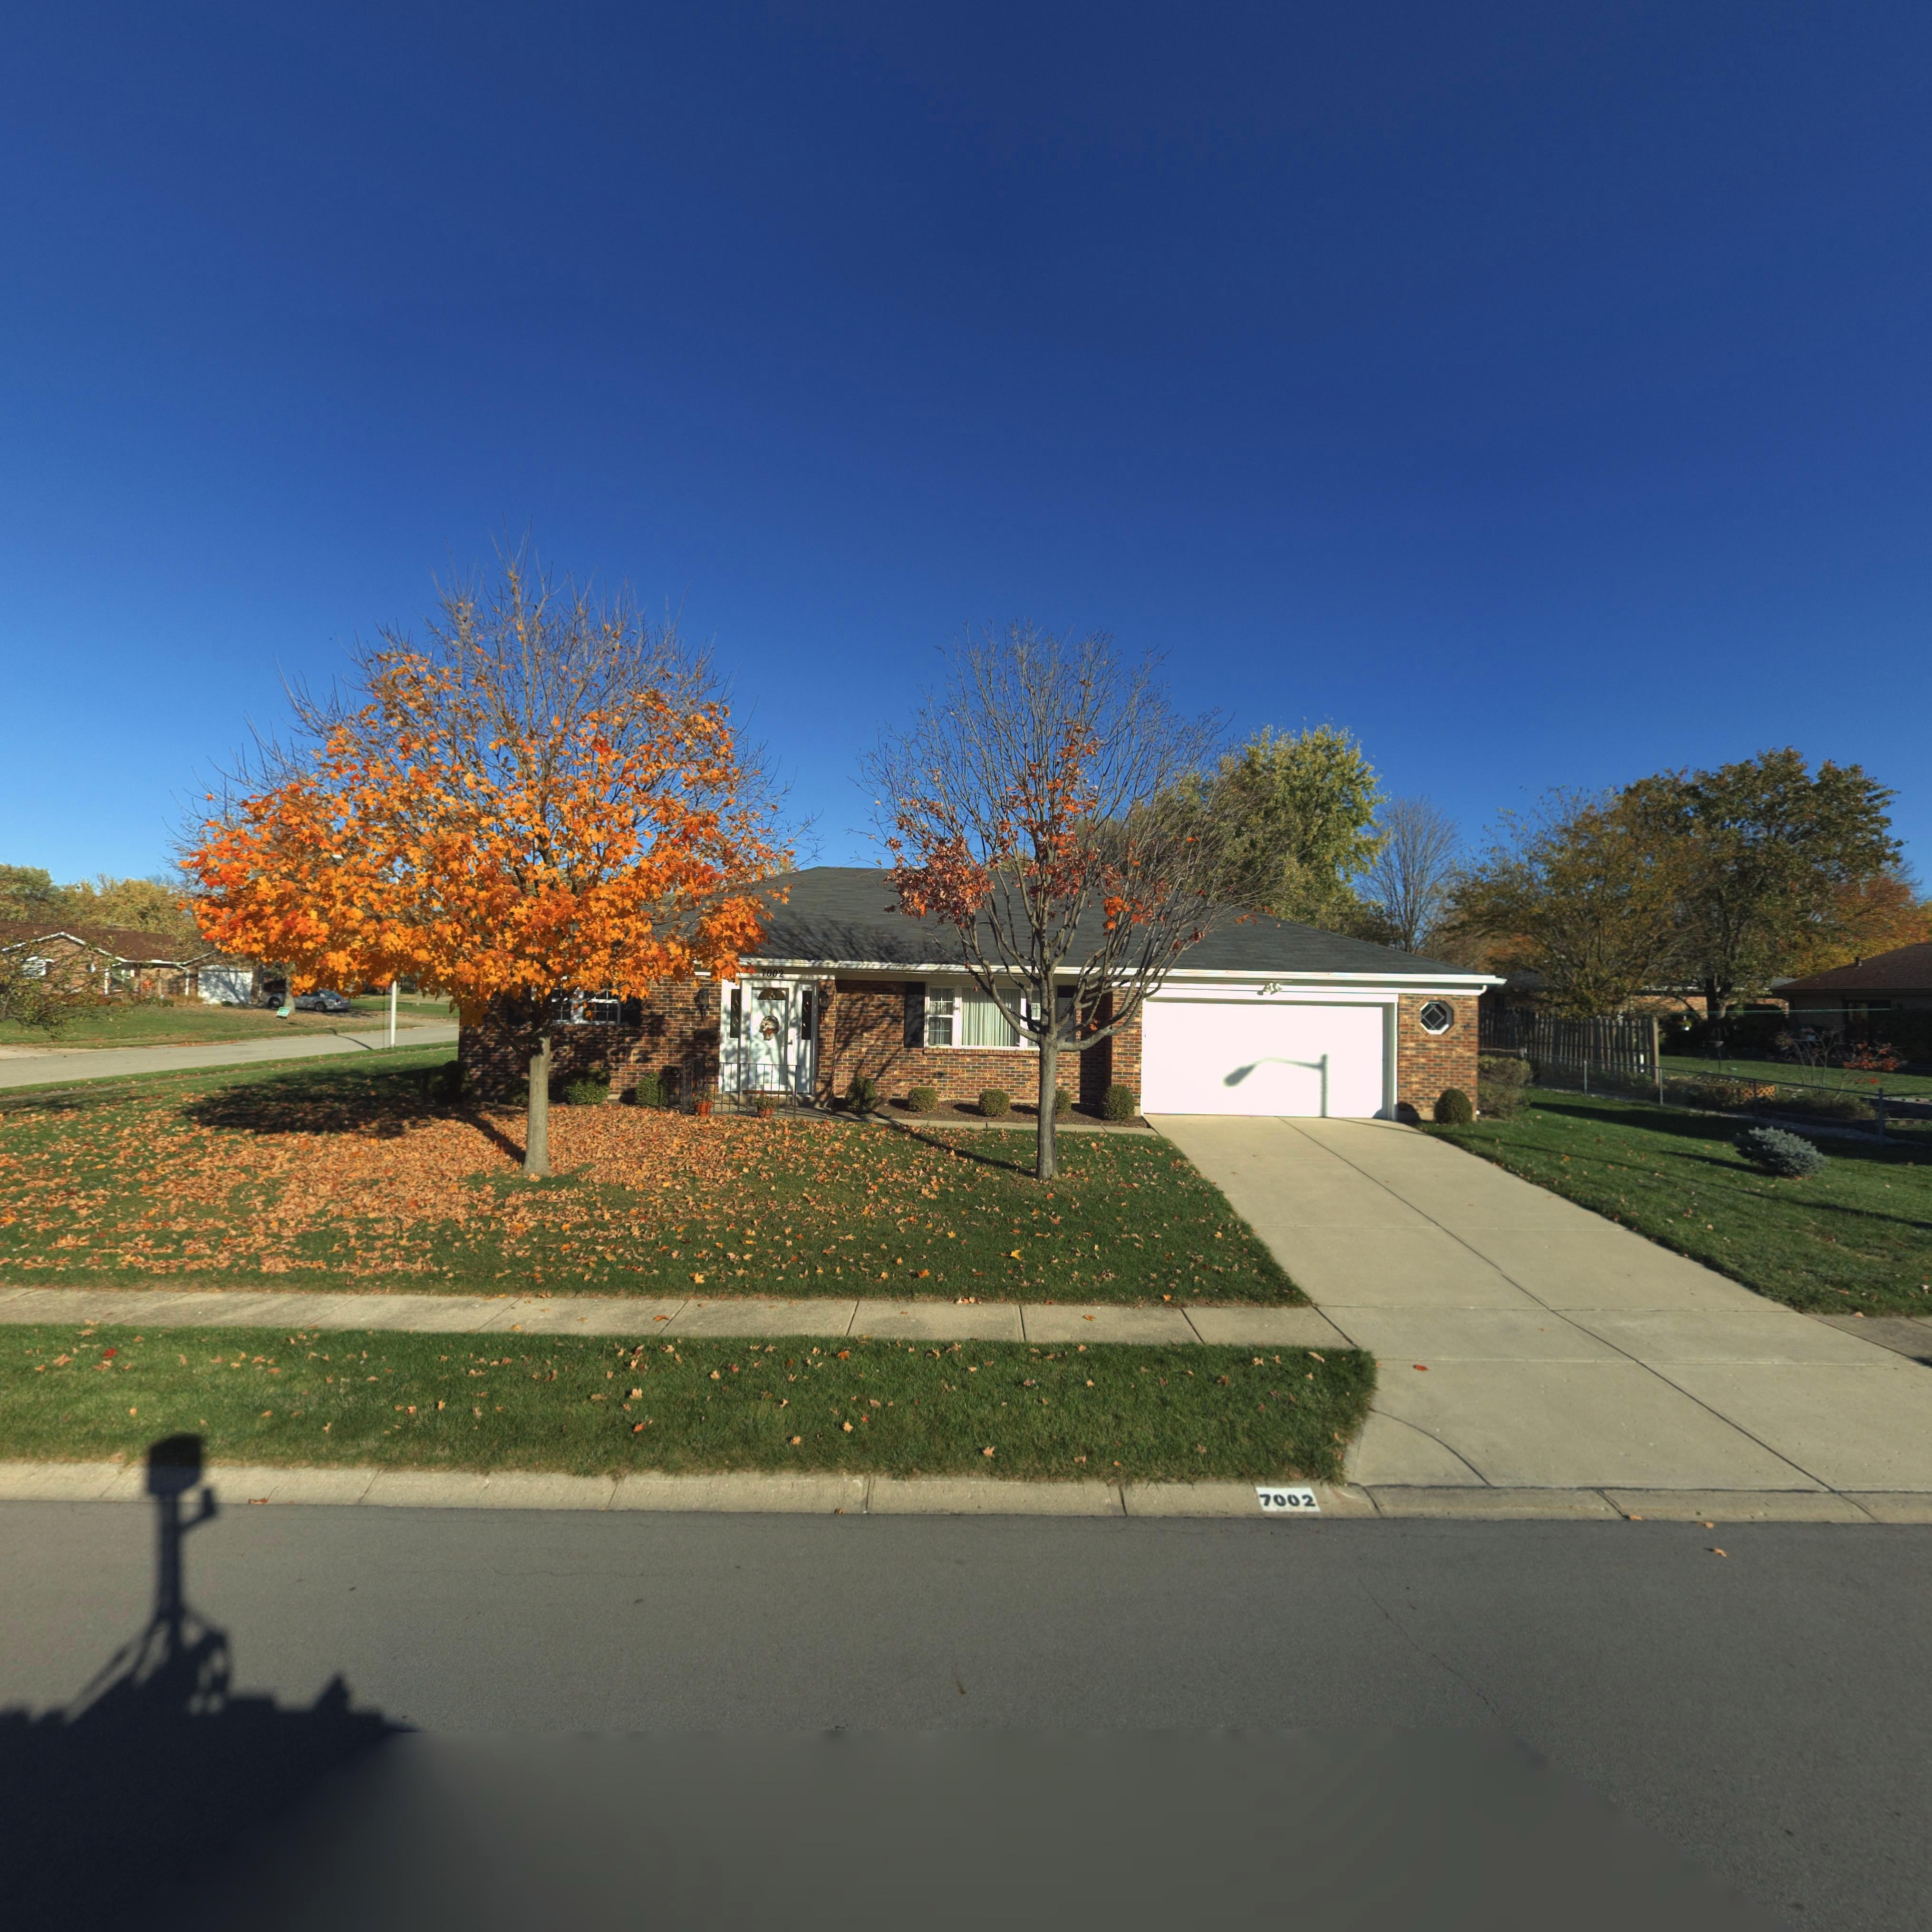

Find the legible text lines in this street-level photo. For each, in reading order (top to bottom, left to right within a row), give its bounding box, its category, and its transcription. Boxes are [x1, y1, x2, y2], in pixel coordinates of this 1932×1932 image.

[761, 968, 784, 978] StreetNumber: 7002
[1258, 1493, 1316, 1507] StreetNumber: 7002